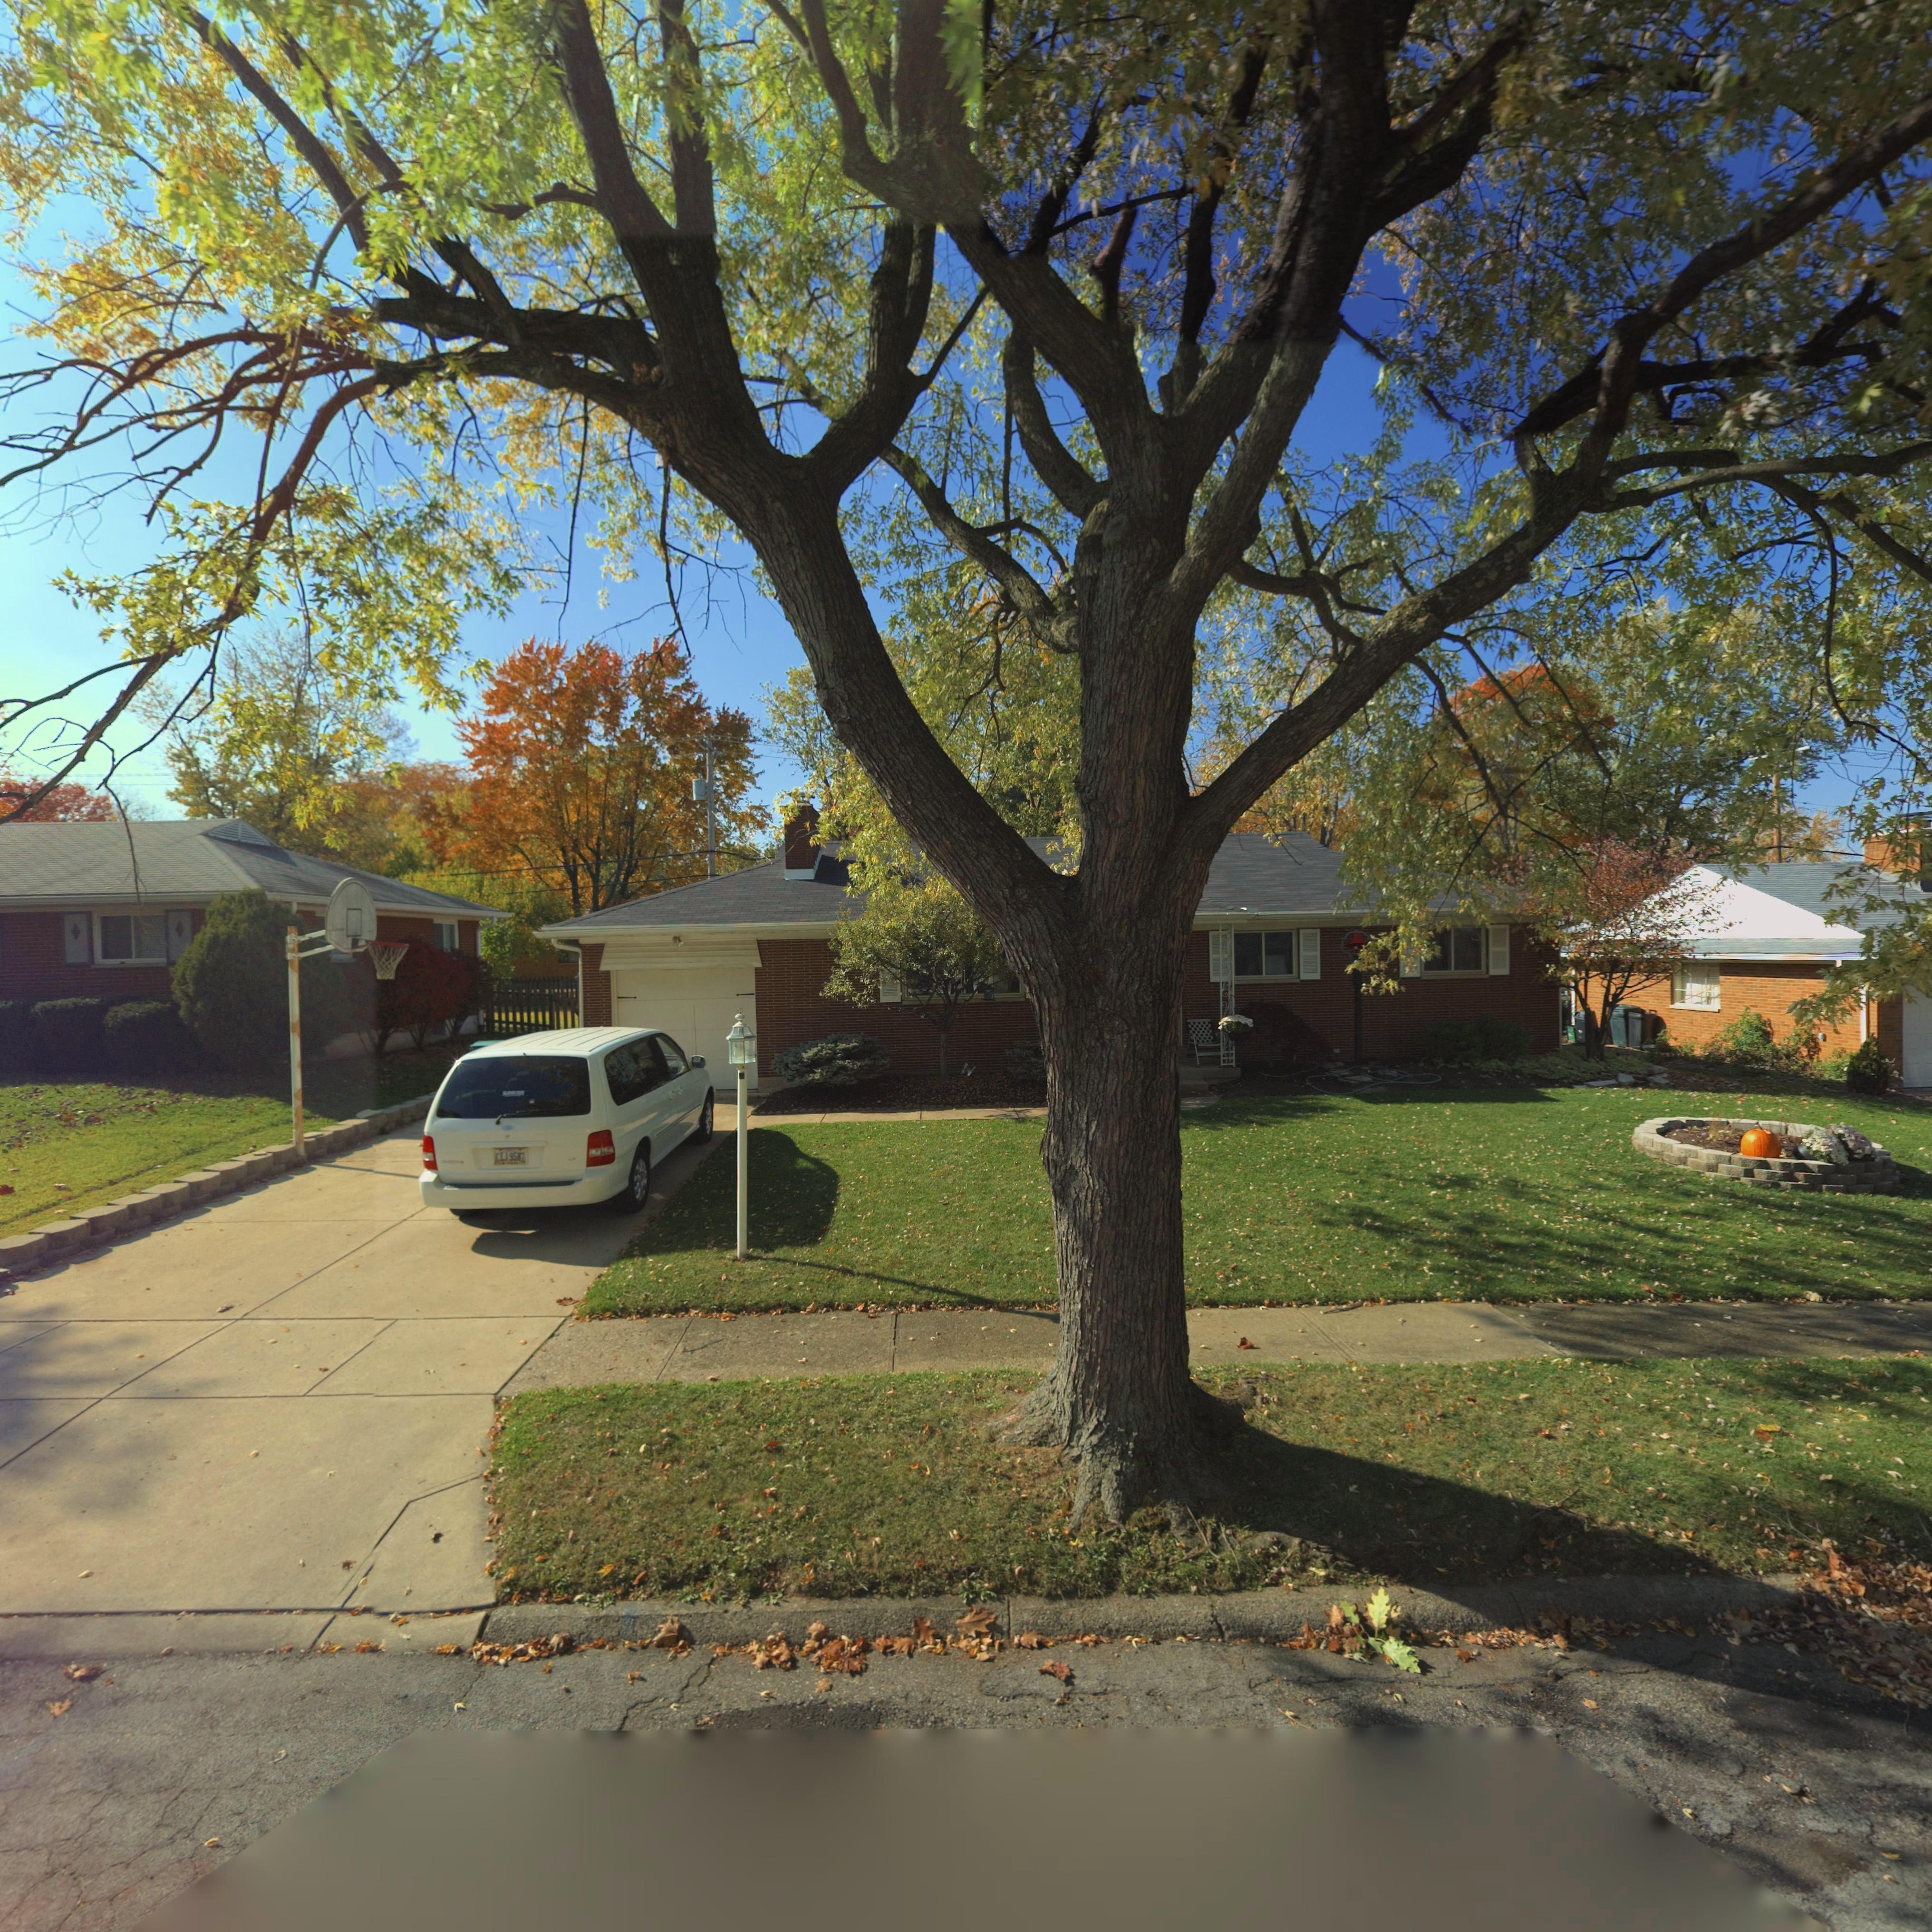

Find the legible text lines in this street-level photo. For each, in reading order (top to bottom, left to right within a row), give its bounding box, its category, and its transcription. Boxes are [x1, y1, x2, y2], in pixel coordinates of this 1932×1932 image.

[494, 1150, 527, 1163] StreetNumber: CLI 9587